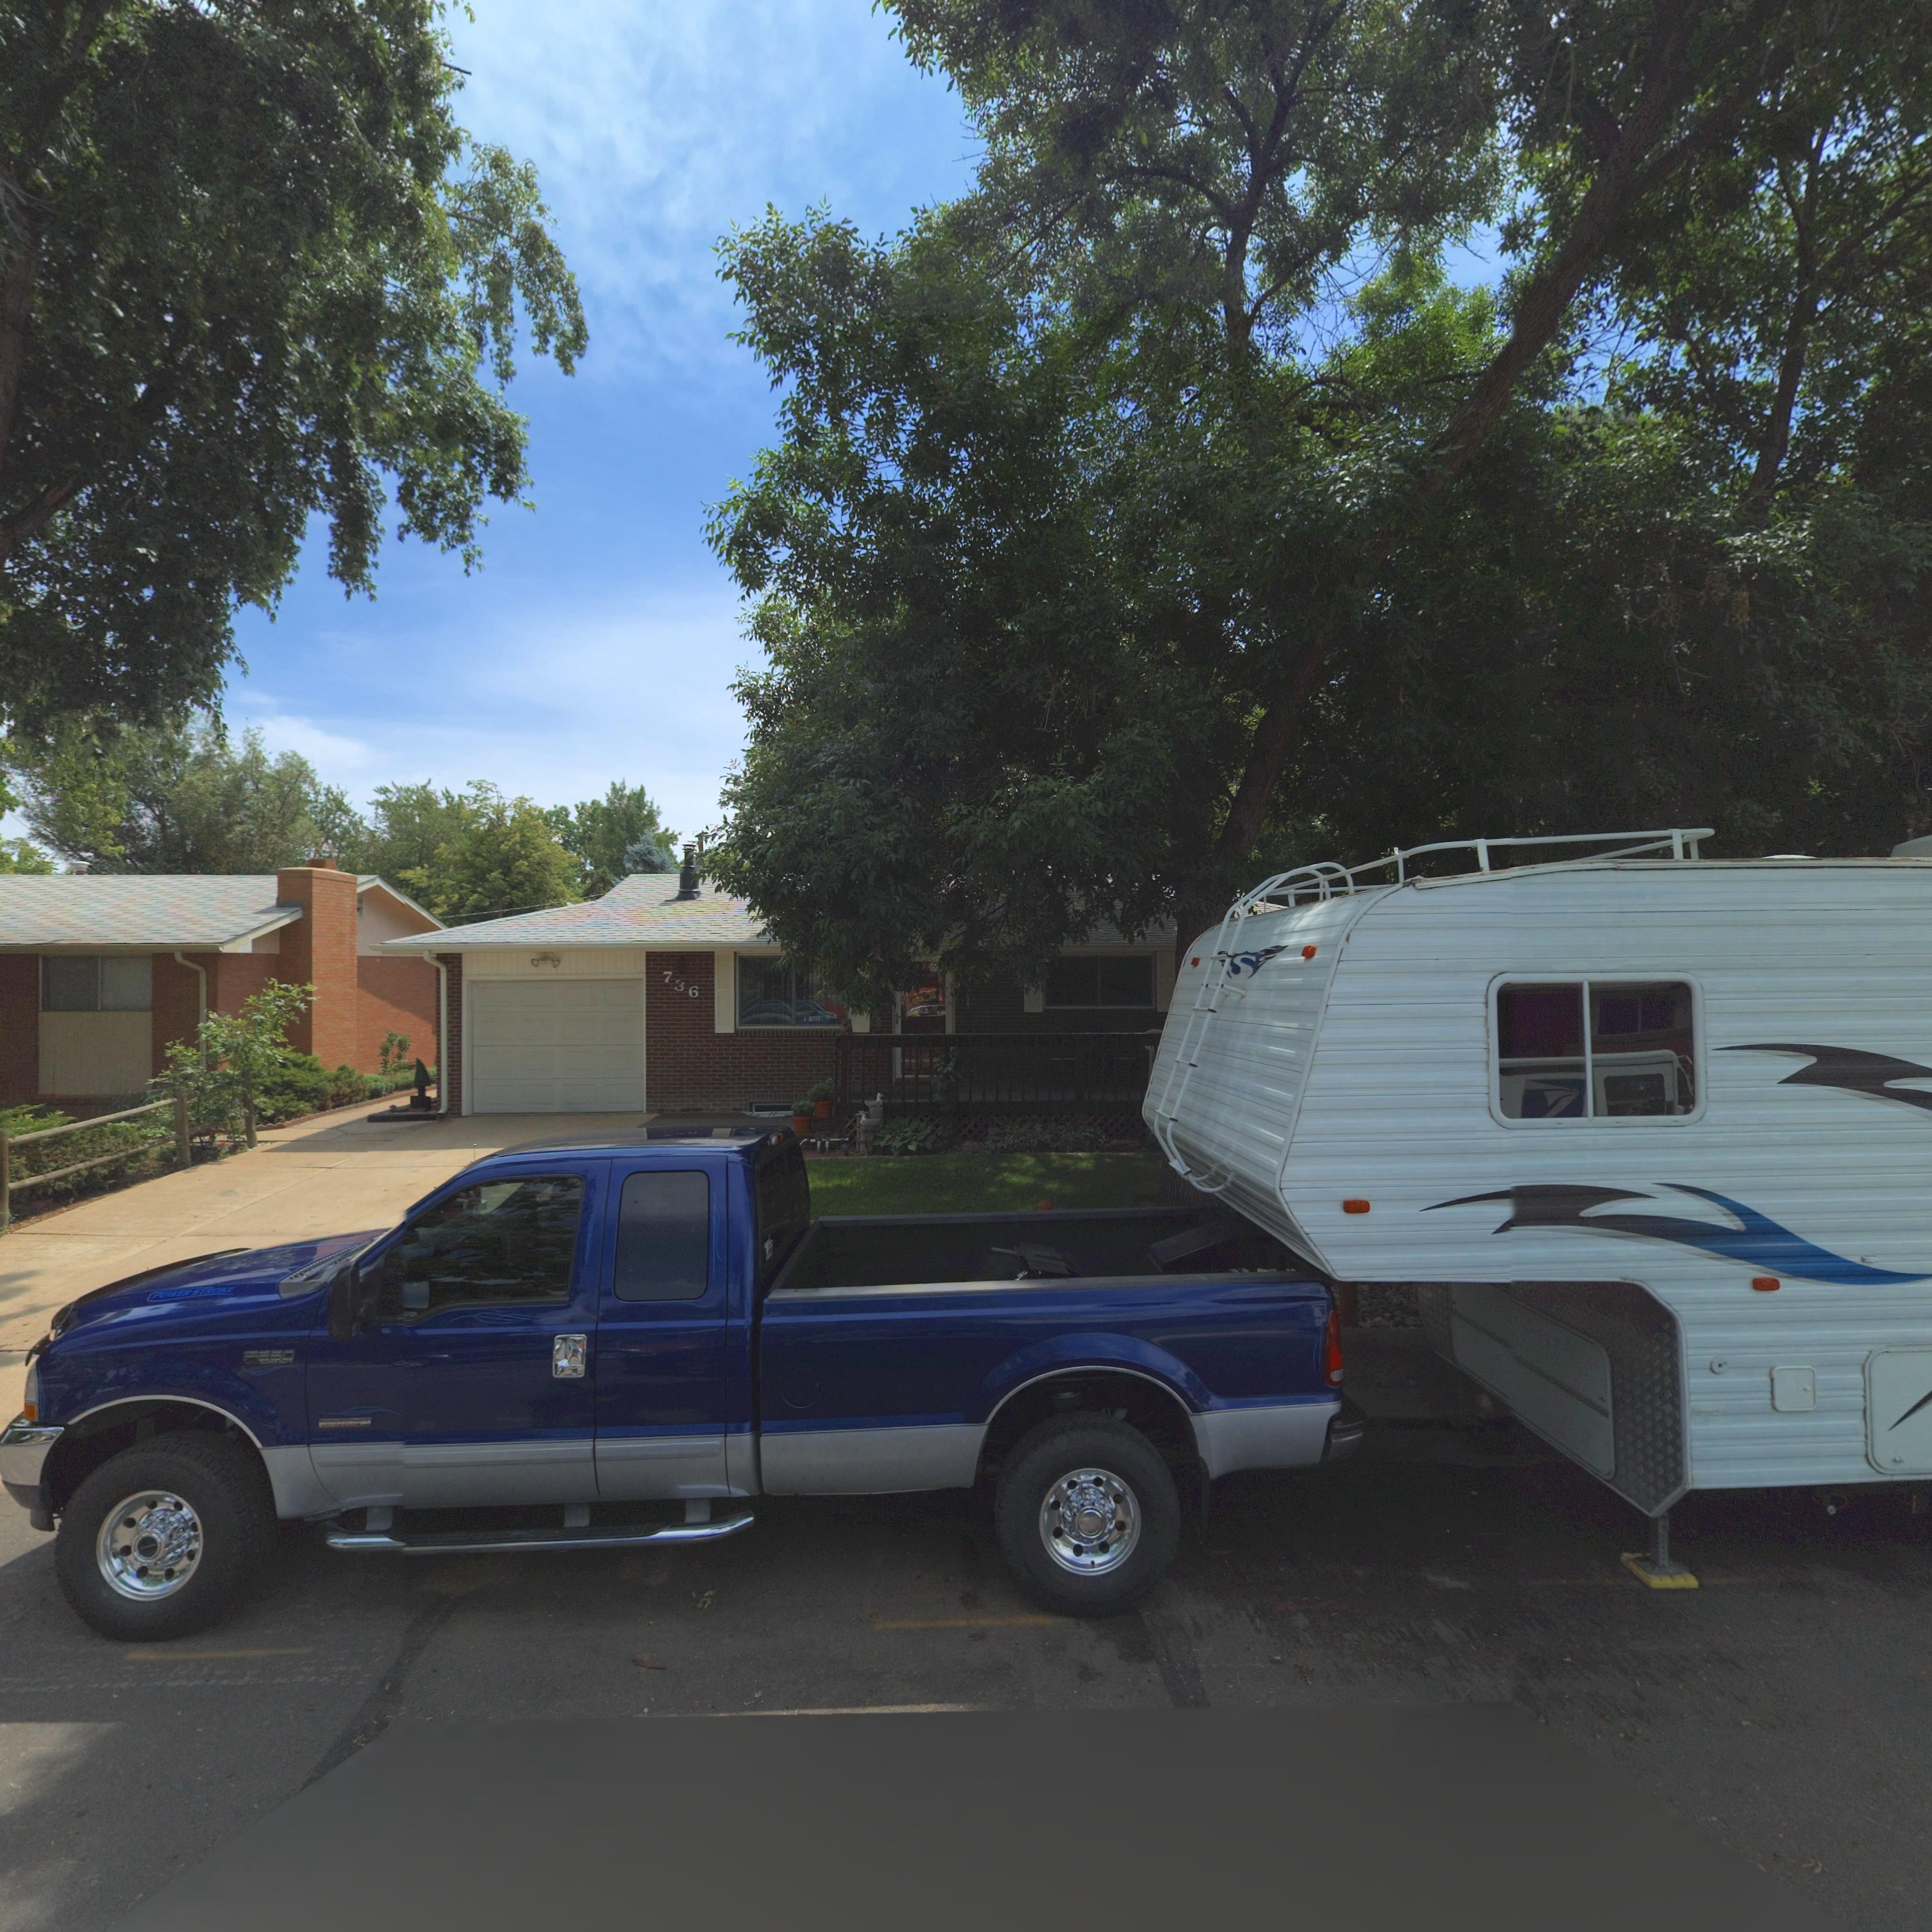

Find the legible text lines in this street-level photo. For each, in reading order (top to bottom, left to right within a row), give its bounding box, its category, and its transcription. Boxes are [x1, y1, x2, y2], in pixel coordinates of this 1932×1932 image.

[662, 970, 699, 998] StreetNumber: 736